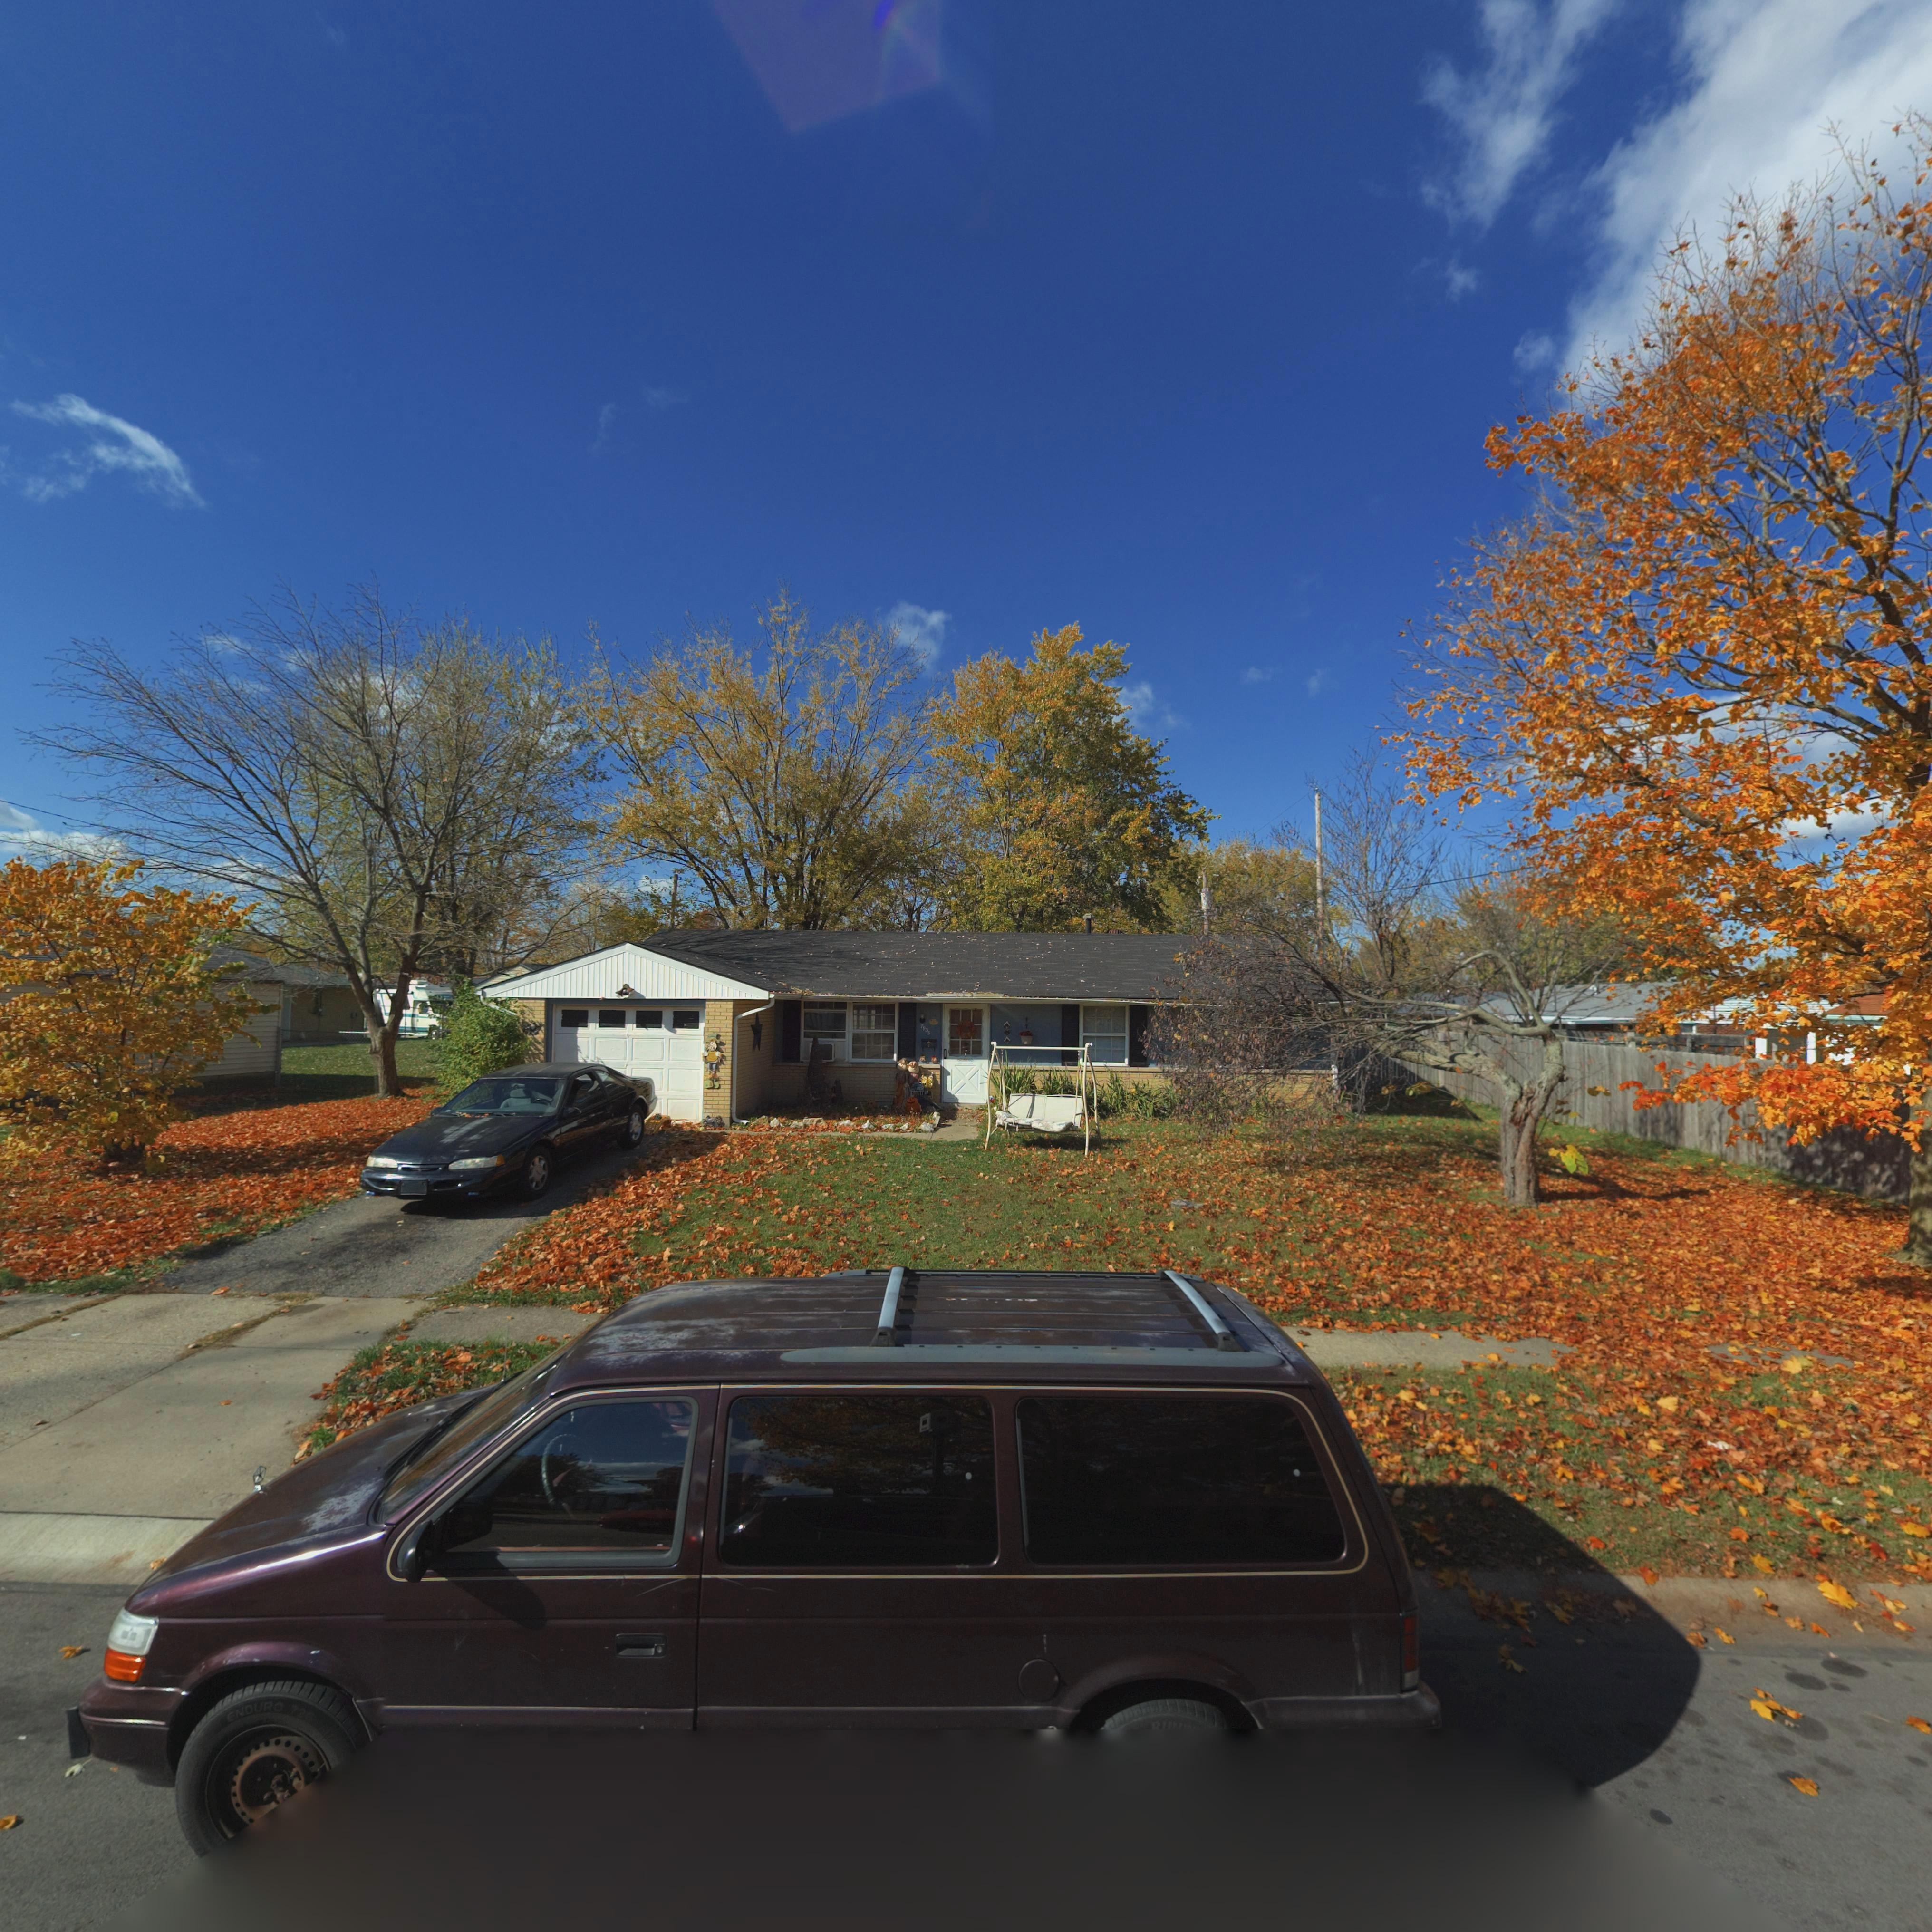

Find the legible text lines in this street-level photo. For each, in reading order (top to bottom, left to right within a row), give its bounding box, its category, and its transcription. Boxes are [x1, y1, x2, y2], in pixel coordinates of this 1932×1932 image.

[919, 1023, 931, 1037] StreetNumber: 79*5